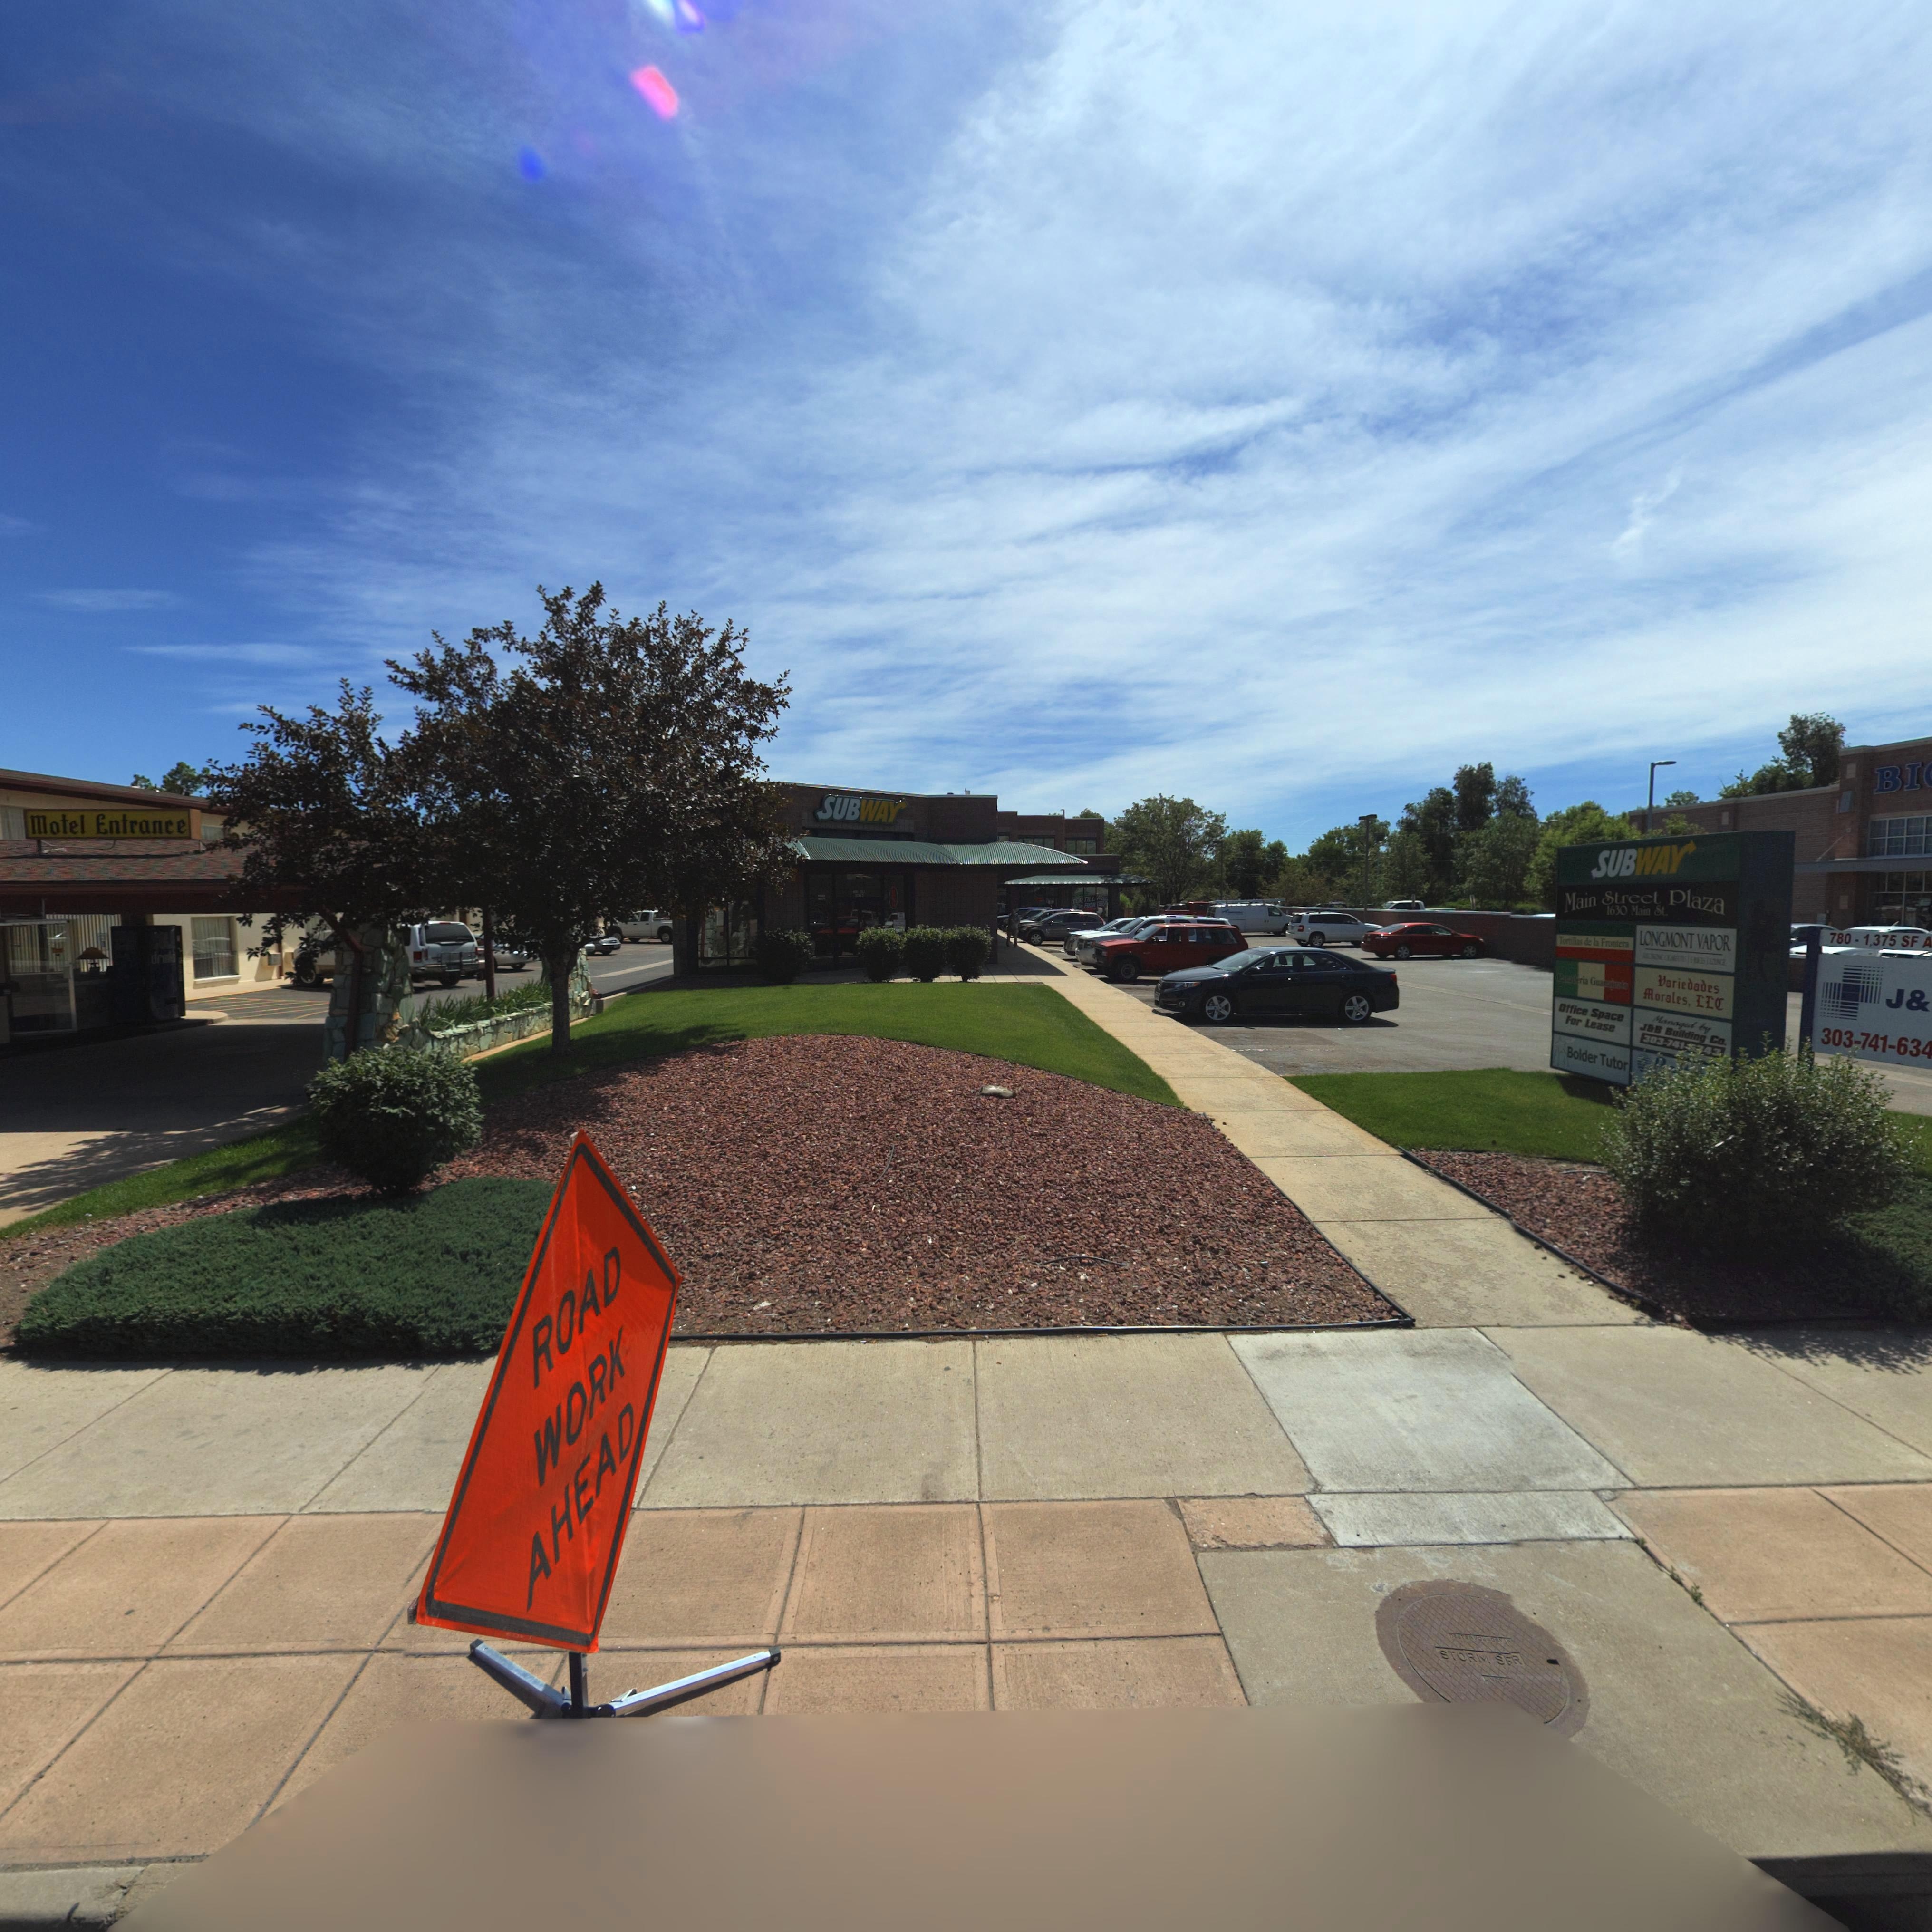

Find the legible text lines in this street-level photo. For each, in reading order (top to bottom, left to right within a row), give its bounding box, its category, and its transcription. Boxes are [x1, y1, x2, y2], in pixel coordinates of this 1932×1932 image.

[1873, 761, 1922, 795] BusinessName: BI
[815, 794, 908, 823] BusinessName: SUBWAY
[1588, 838, 1699, 881] BusinessName: SUBWAY
[1606, 904, 1628, 916] StreetNumber: 1630
[1630, 903, 1670, 917] StreetName: Main St.
[1558, 935, 1631, 949] BusinessName: Totillas de la Frontera
[1639, 929, 1732, 952] BusinessName: LONGMONT VAPOR
[1556, 972, 1630, 992] BusinessName: Pan**eria Gua****ato
[1657, 973, 1720, 995] BusinessName: Variedades
[1641, 987, 1725, 1012] BusinessName: Morales, LLC
[1566, 1045, 1629, 1072] BusinessName: Bolder Tutor